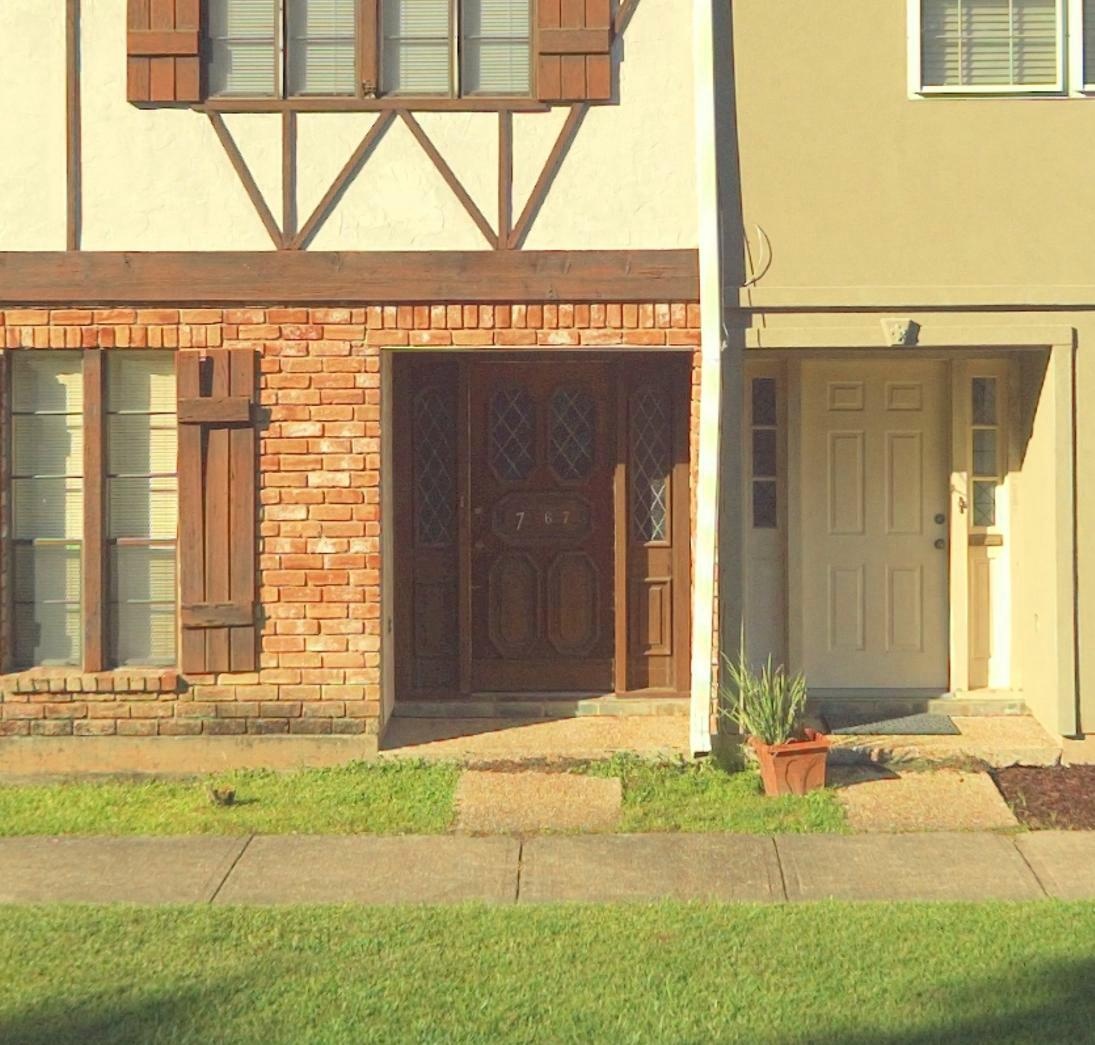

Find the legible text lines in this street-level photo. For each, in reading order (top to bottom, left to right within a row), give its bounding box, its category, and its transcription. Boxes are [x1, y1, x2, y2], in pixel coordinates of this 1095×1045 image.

[514, 510, 570, 533] StreetNumber: 767